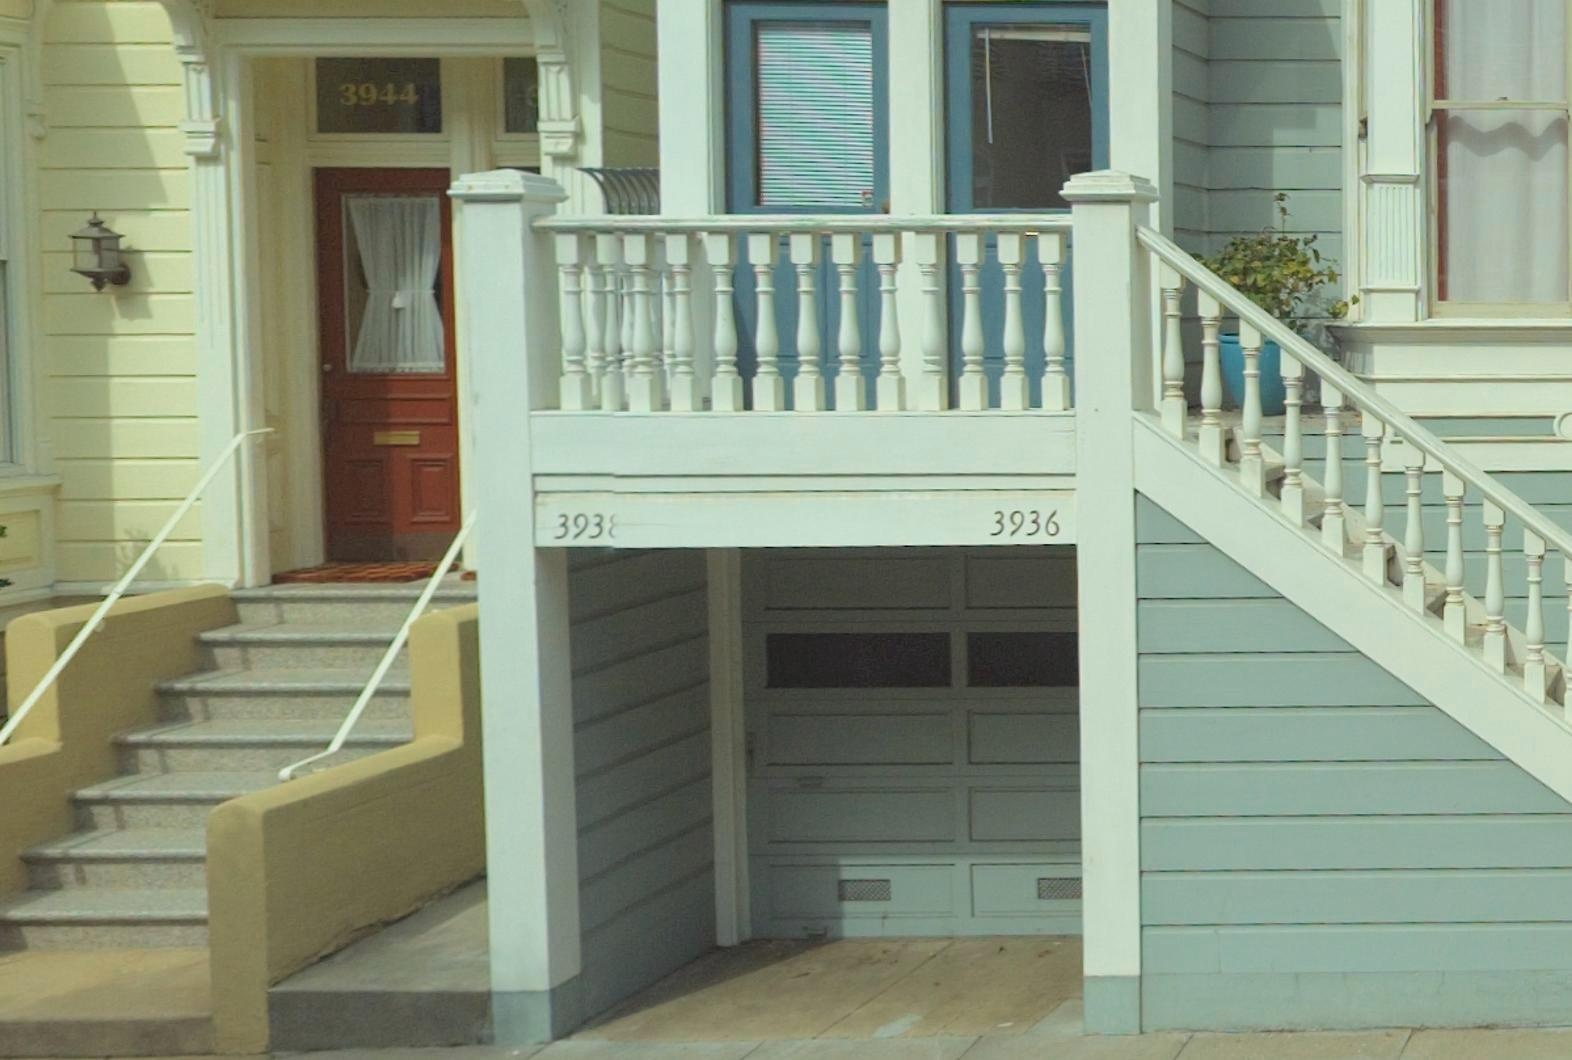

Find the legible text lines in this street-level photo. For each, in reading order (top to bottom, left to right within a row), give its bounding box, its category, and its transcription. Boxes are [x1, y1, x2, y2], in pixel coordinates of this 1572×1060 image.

[337, 82, 419, 107] StreetNumber: 3944
[553, 510, 624, 541] StreetNumber: 393*
[987, 508, 1062, 541] StreetNumber: 3936